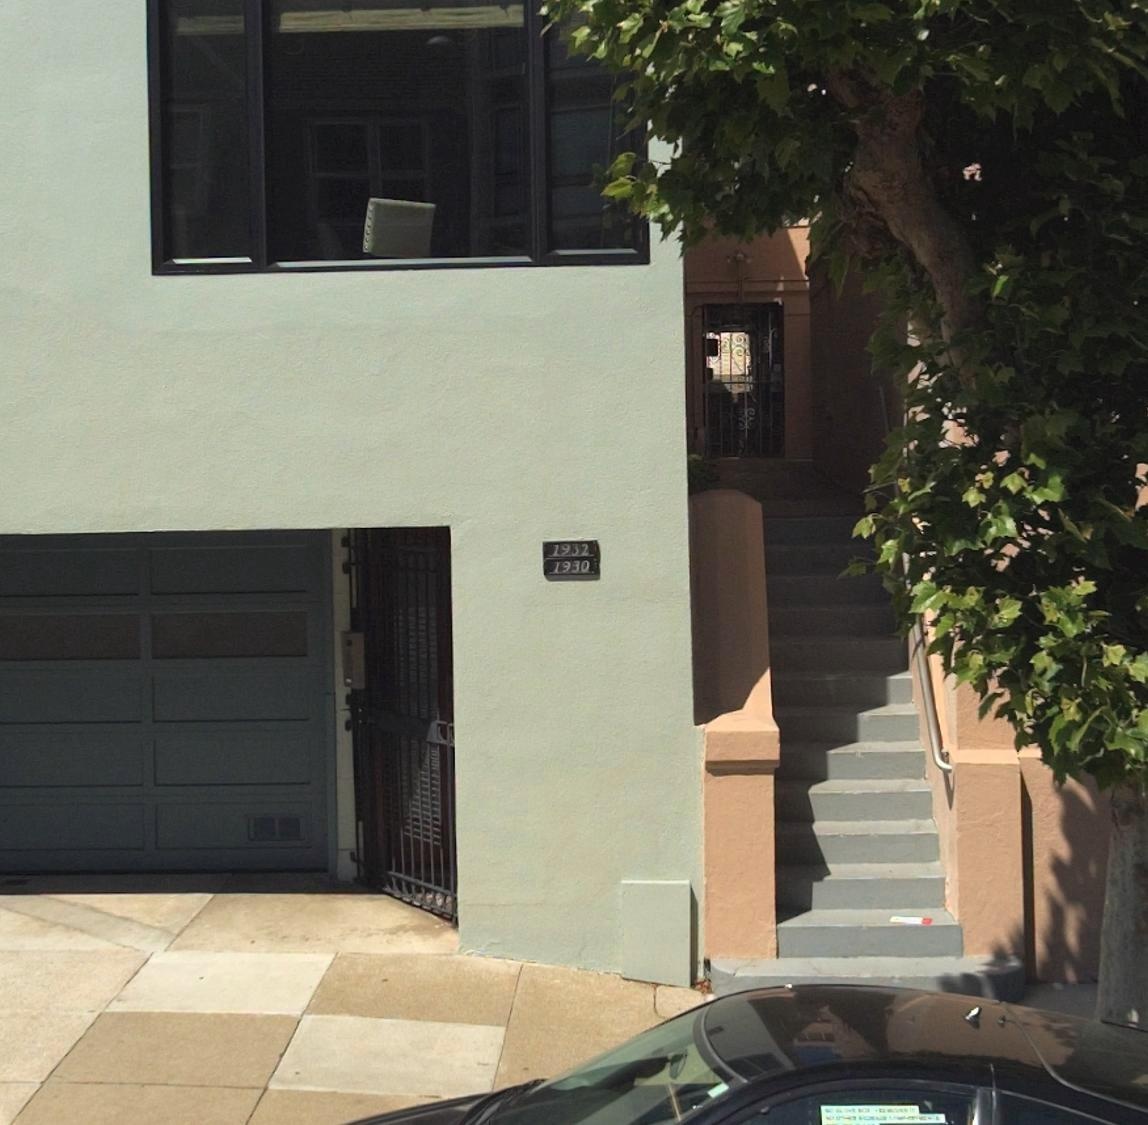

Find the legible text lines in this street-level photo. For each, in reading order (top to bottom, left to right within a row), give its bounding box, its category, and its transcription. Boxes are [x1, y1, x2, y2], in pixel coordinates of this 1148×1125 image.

[551, 543, 590, 557] StreetNumber: 1932
[551, 560, 592, 573] StreetNumber: 1930